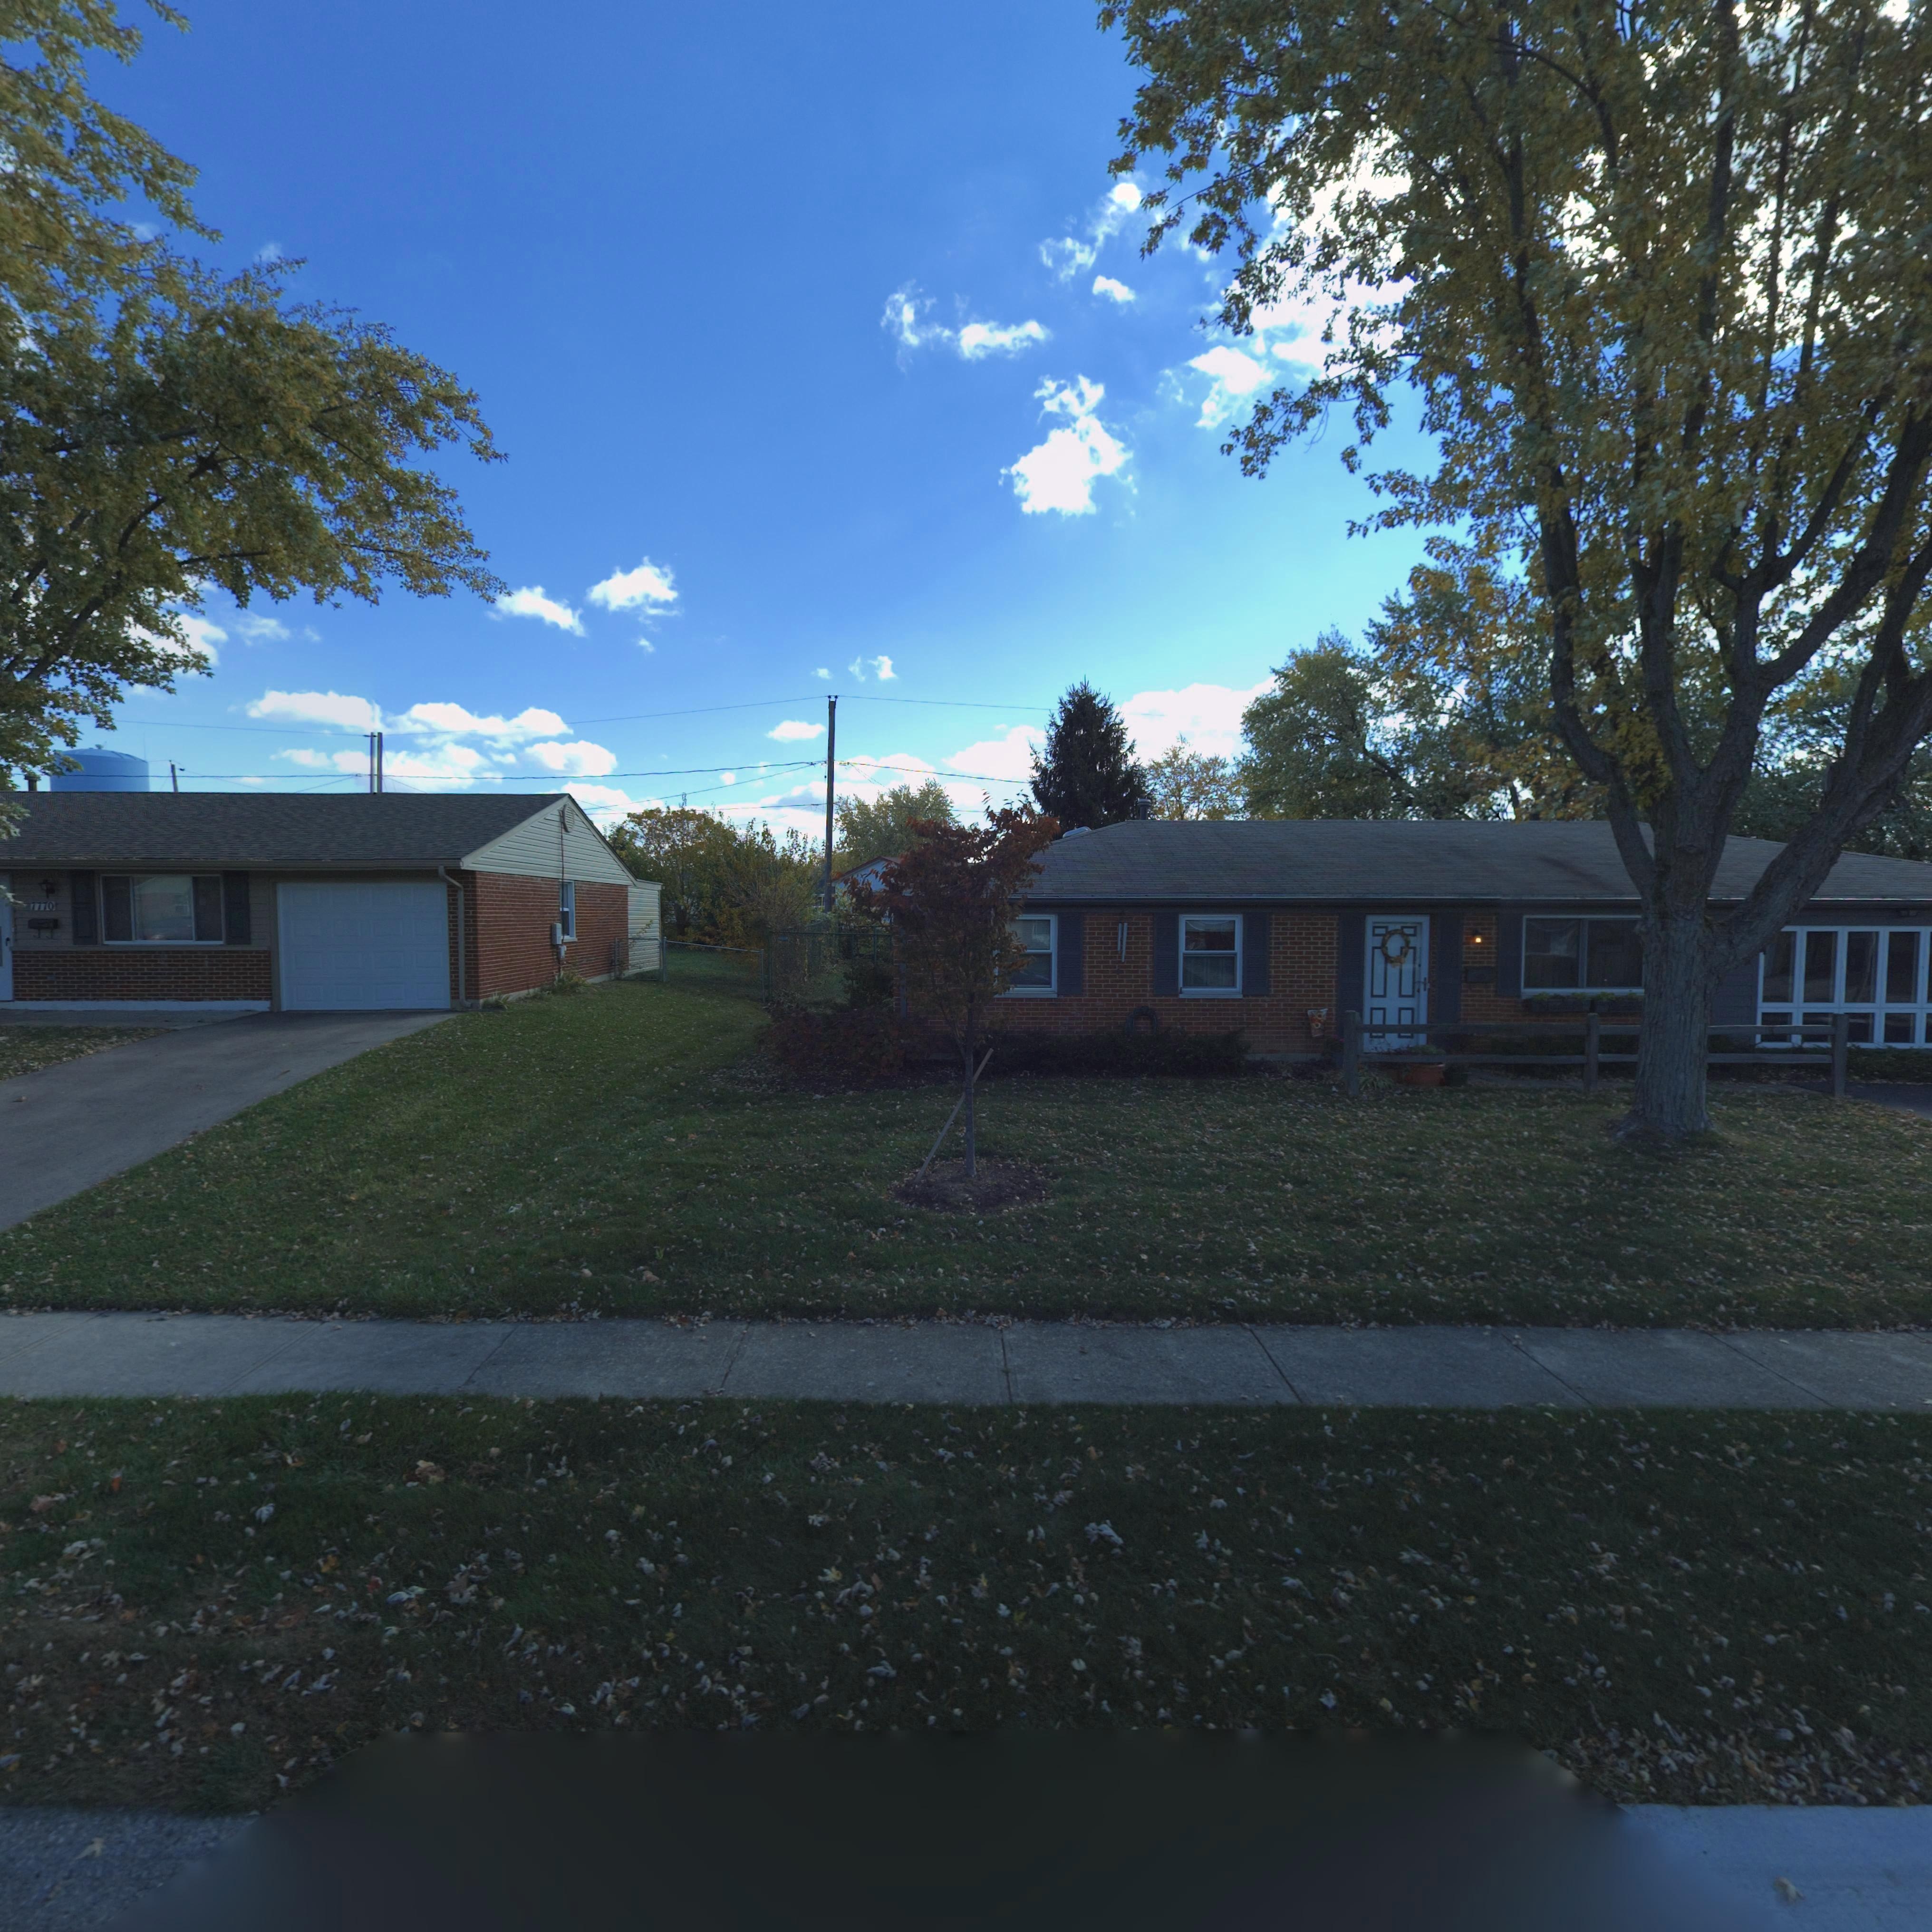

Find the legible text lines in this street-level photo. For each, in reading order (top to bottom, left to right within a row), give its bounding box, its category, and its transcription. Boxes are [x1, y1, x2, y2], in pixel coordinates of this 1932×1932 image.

[29, 901, 55, 911] StreetNumber: 7770